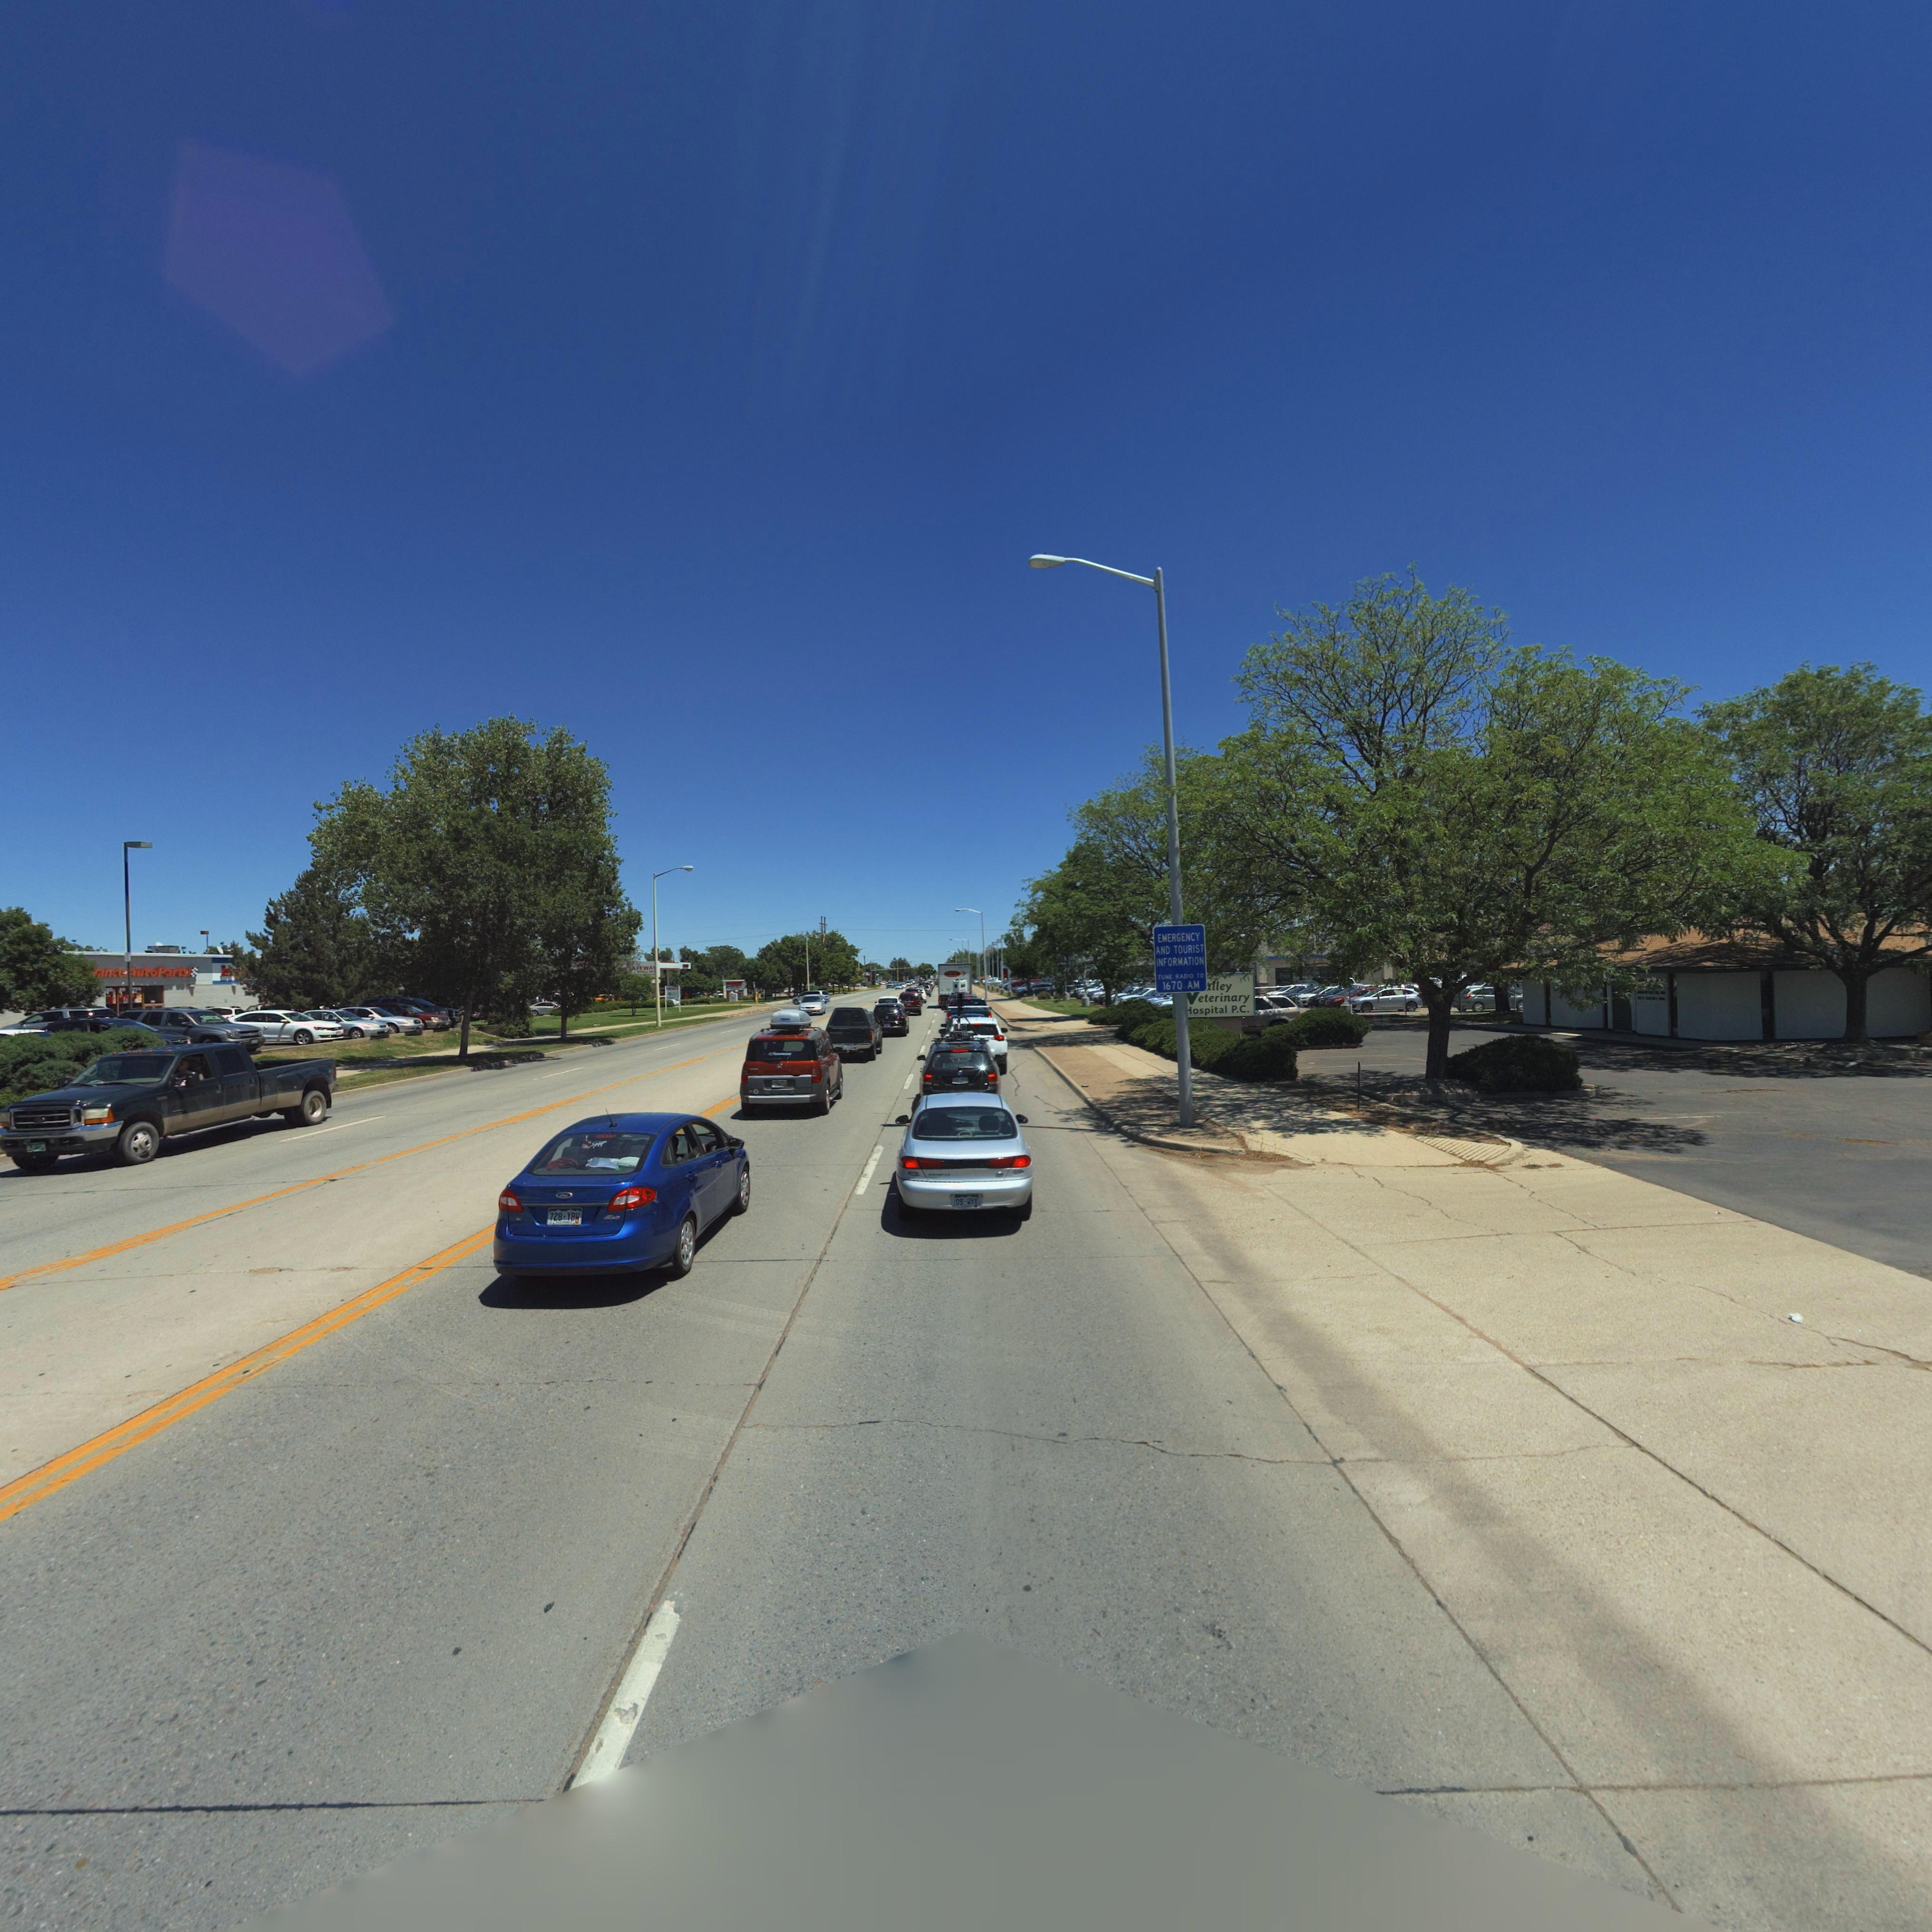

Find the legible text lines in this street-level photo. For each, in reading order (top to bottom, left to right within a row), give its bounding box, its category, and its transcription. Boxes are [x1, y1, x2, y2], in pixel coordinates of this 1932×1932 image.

[91, 965, 191, 977] BusinessName: *ance *utoParts
[628, 965, 655, 970] BusinessName: SAFEWA*
[1206, 980, 1233, 993] BusinessName: *lley
[1198, 992, 1250, 1004] BusinessName: eterinary
[1187, 1005, 1246, 1016] BusinessName: *ospital P.C